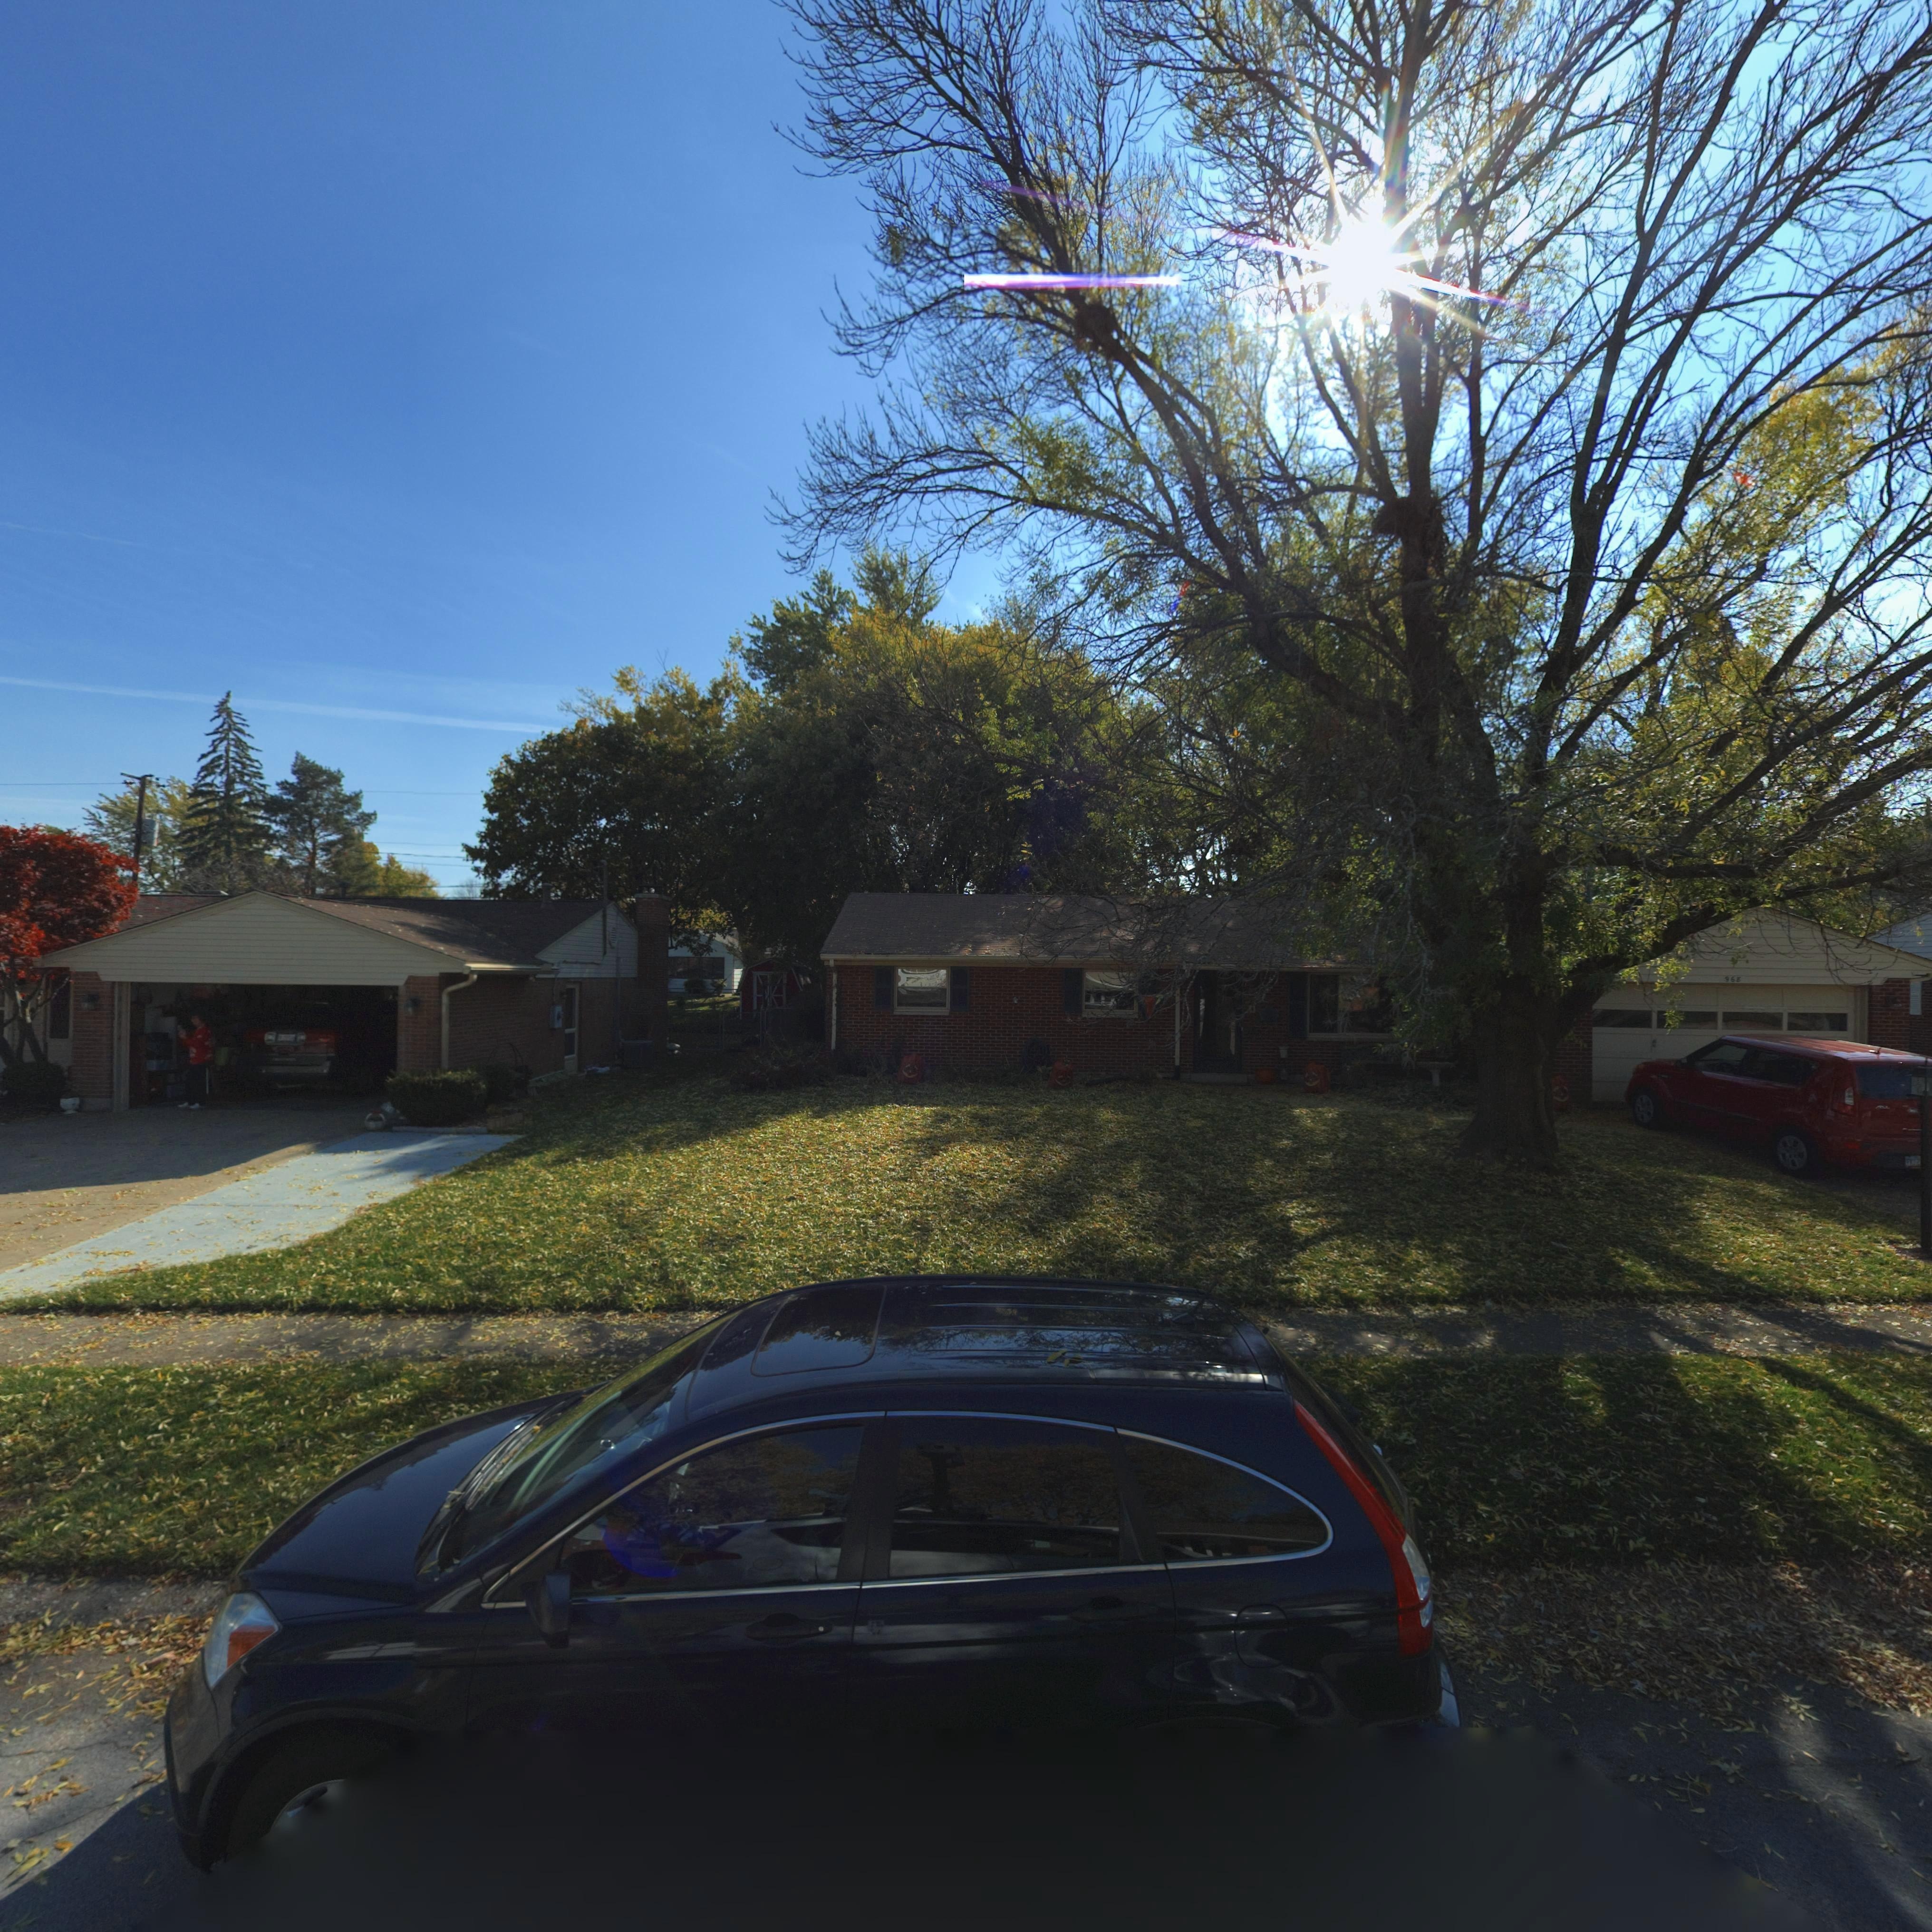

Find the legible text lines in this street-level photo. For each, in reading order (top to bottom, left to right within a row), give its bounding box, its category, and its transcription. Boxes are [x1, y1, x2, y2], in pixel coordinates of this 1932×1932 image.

[1874, 1105, 1891, 1109] None: *OUL
[1906, 1158, 1921, 1166] None: F**2